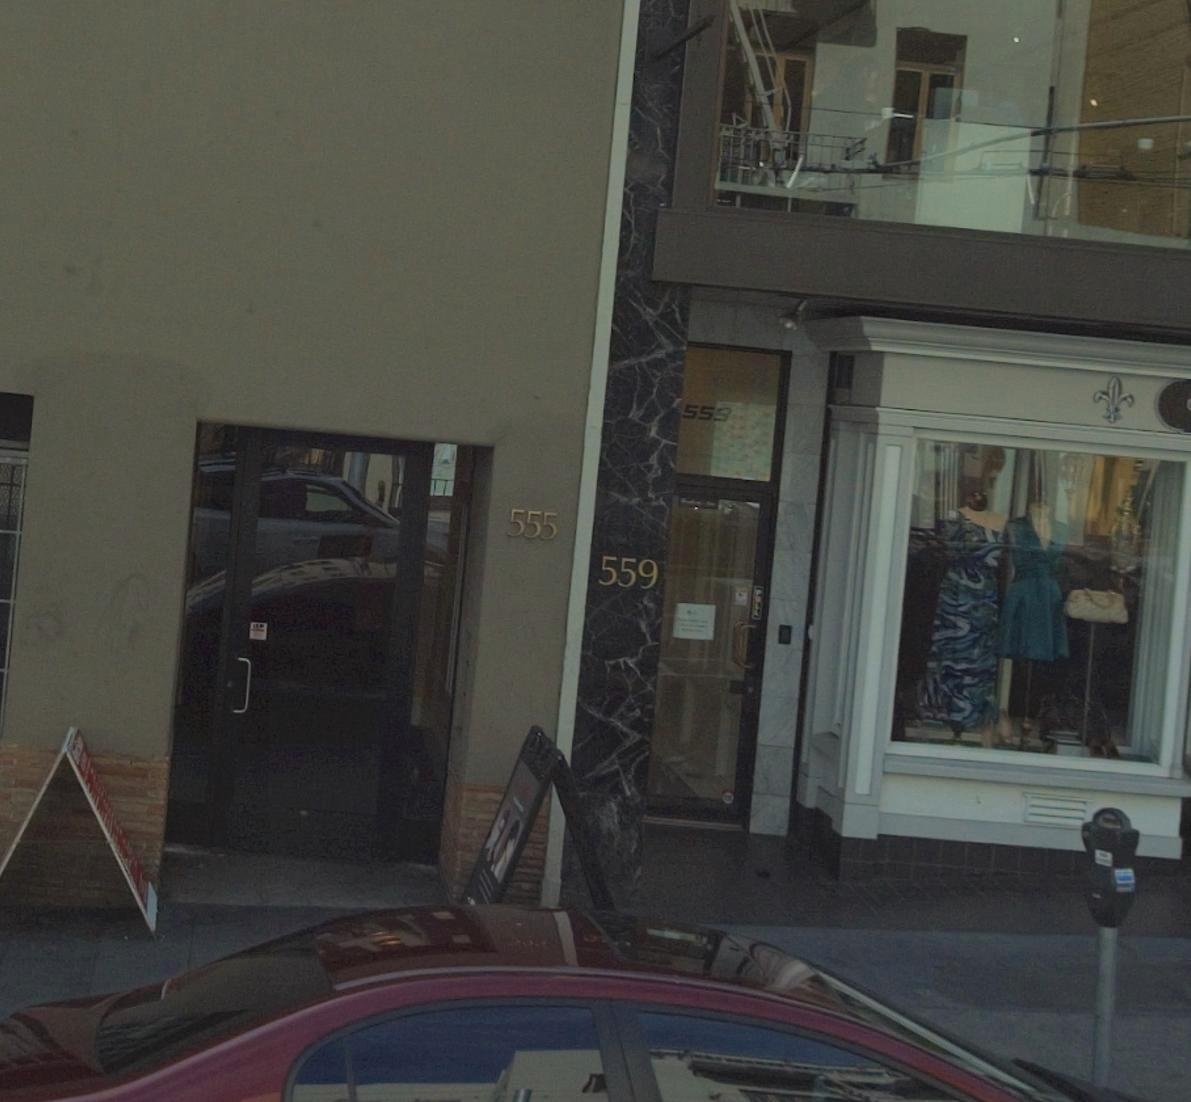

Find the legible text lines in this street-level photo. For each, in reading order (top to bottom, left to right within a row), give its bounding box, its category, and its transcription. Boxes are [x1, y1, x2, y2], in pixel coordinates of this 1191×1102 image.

[678, 400, 737, 428] None: 559
[502, 502, 566, 548] StreetNumber: 555
[592, 549, 667, 597] StreetNumber: 559
[751, 585, 764, 623] None: PULL